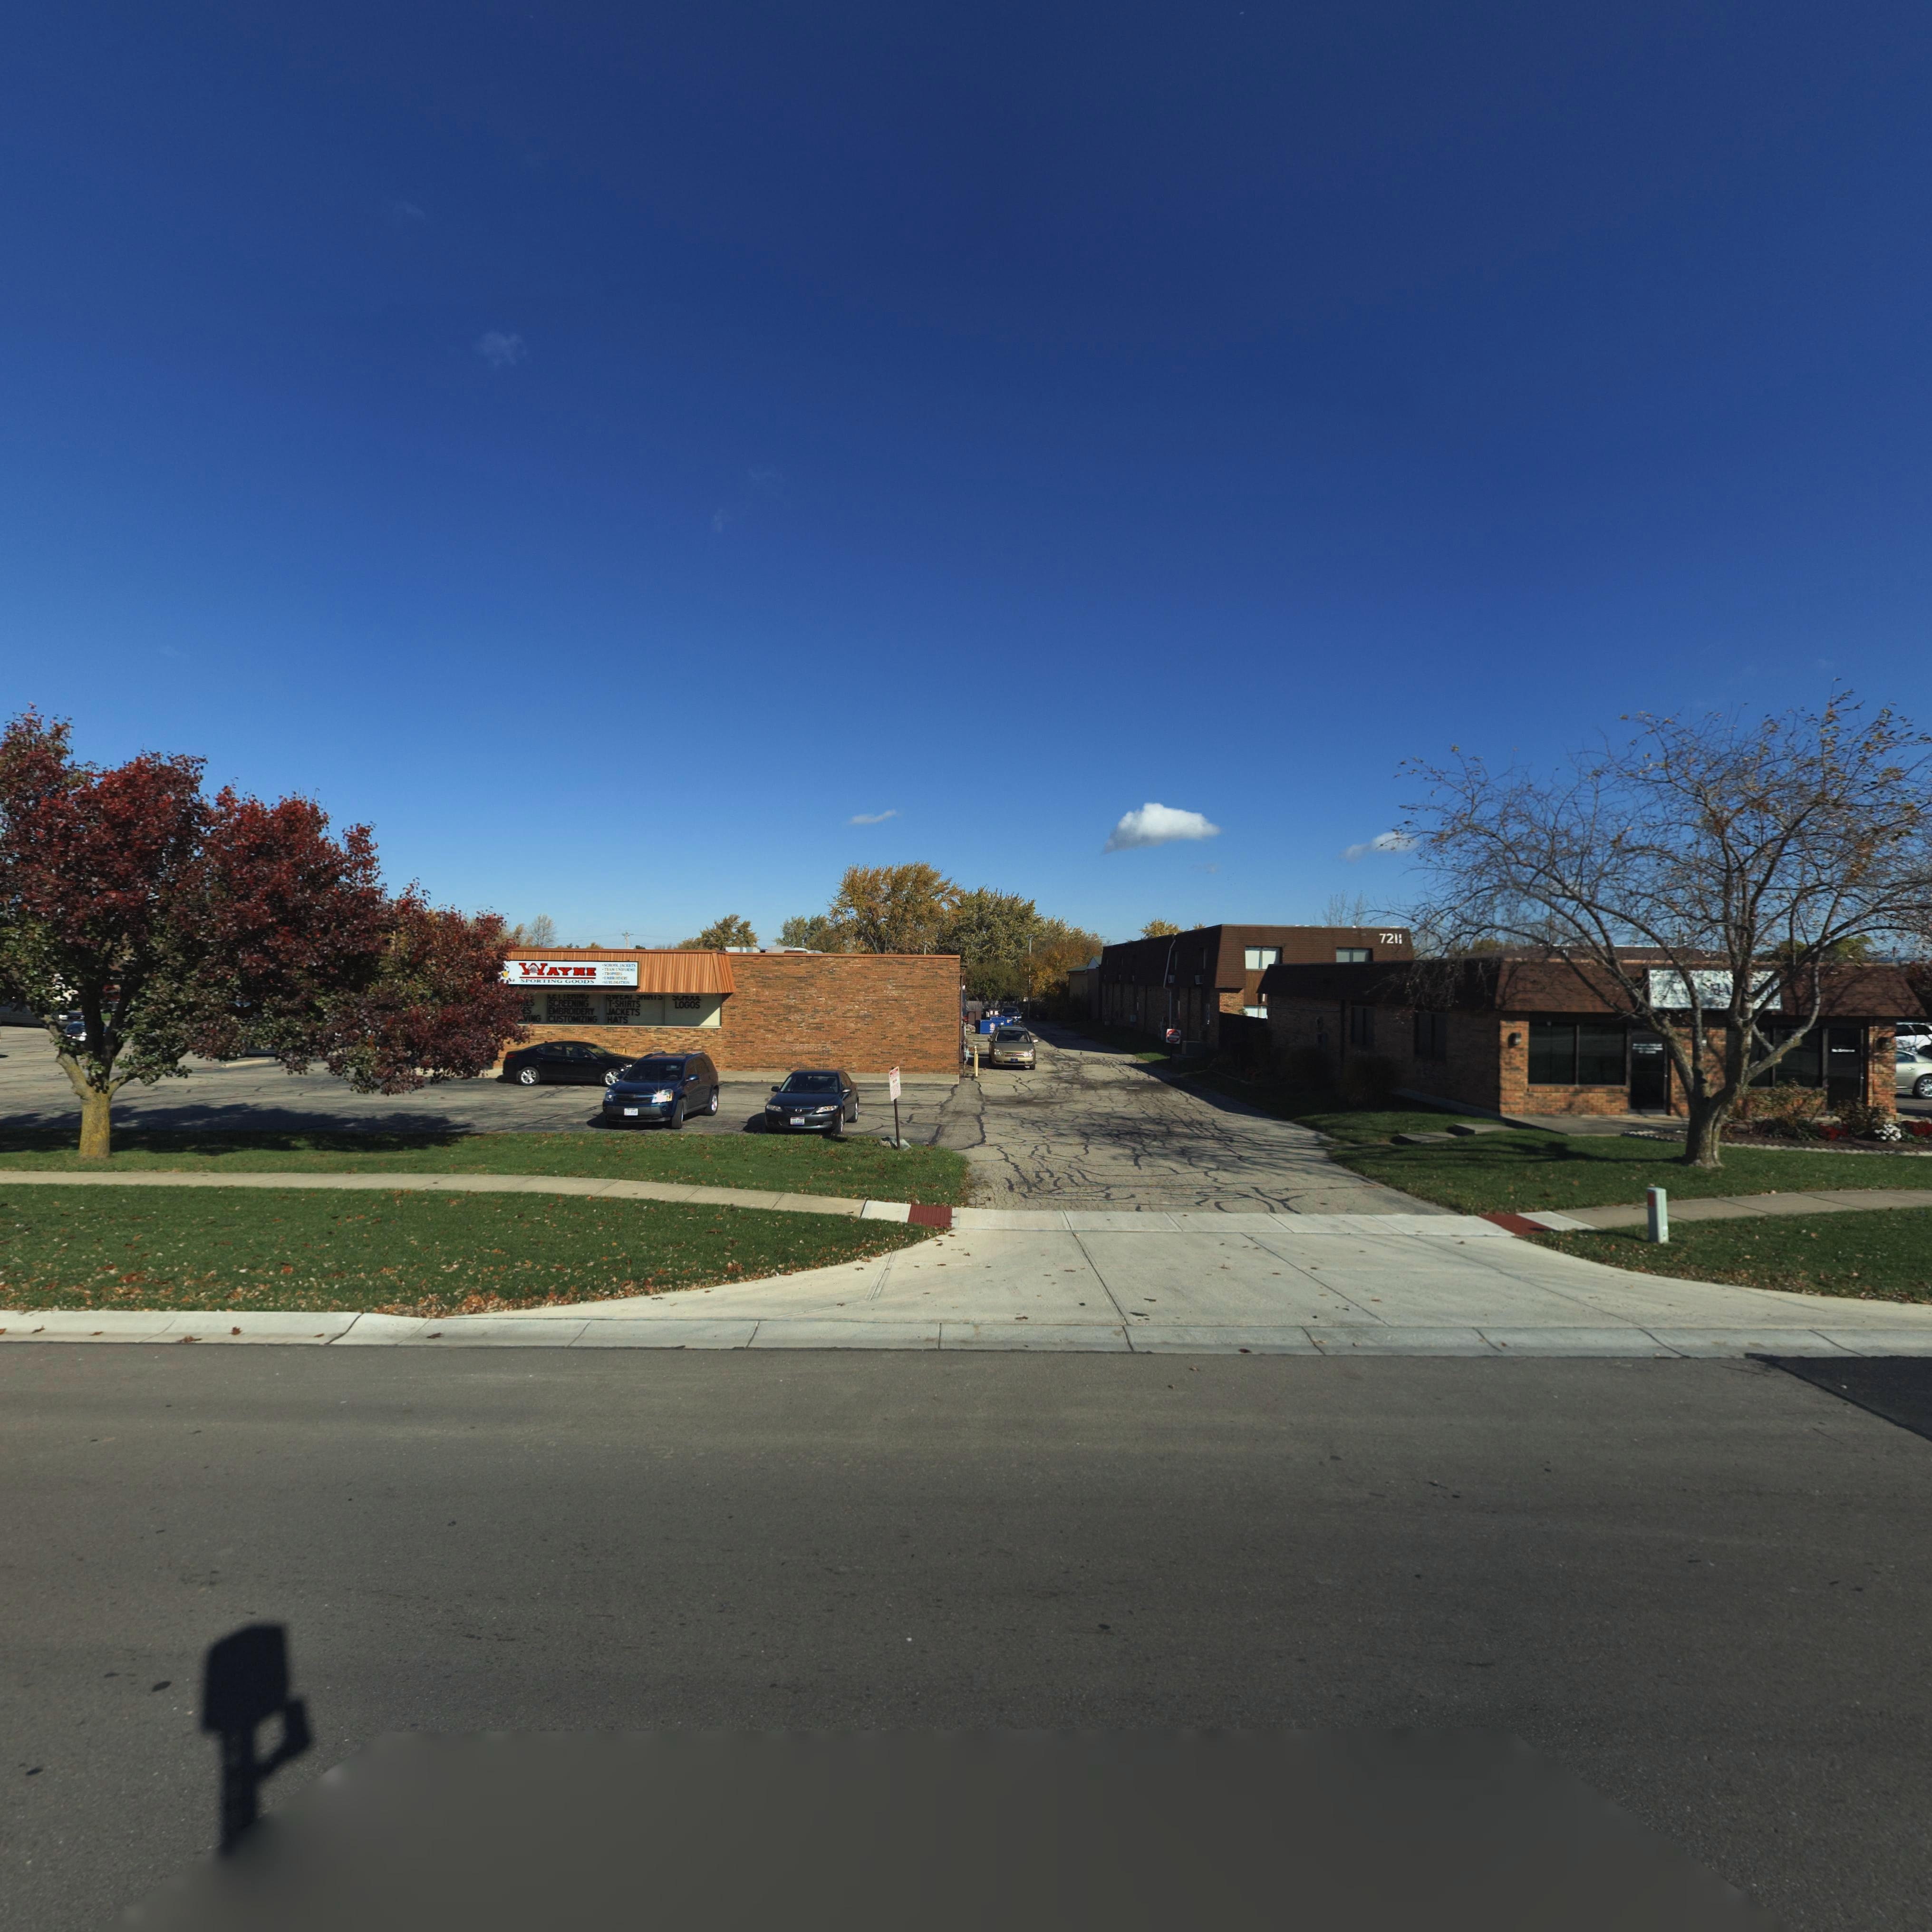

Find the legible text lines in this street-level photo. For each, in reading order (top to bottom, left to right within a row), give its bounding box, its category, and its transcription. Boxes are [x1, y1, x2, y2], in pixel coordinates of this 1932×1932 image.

[1378, 933, 1403, 945] StreetNumber: 7211
[518, 962, 597, 976] BusinessName: WAYNE
[520, 978, 595, 984] BusinessName: SPORTING GOODS